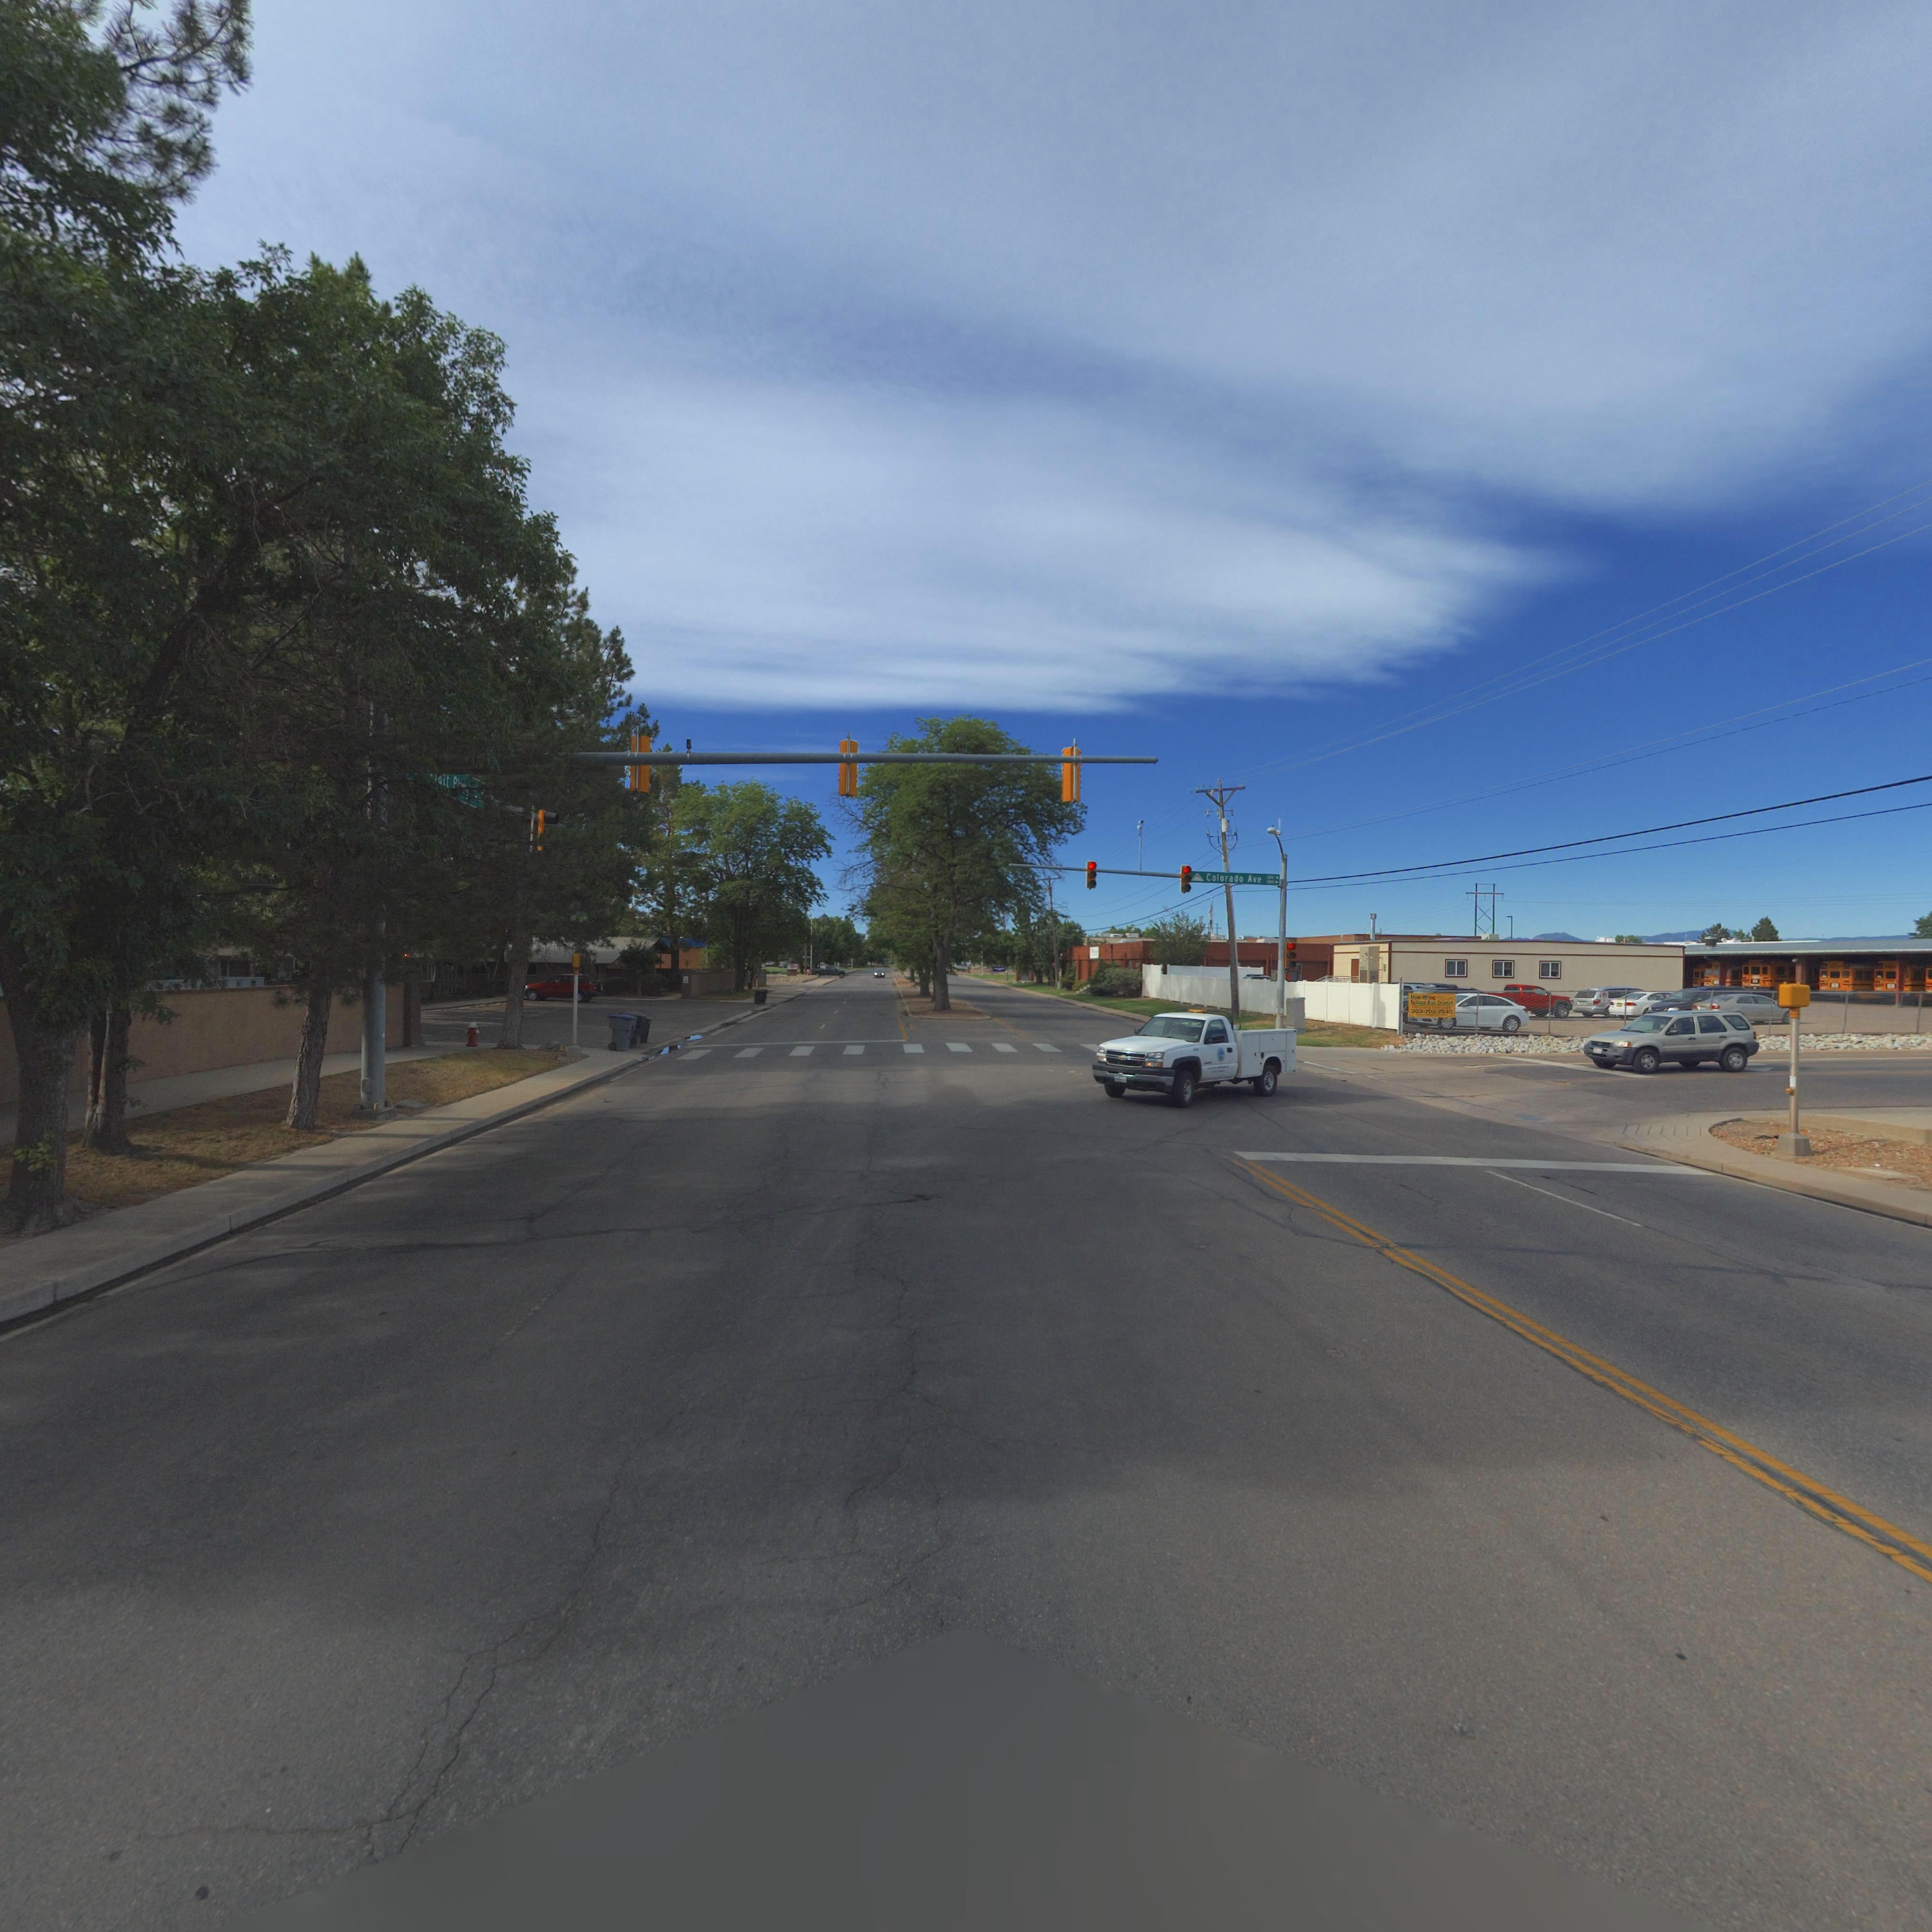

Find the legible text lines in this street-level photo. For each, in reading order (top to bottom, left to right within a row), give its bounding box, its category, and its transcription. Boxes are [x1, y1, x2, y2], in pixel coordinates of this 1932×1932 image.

[433, 770, 471, 801] StreetName: *att P*wy
[1206, 873, 1262, 883] StreetName: Colorado Ave
[1266, 875, 1274, 879] StreetNumberRange: 300
[1266, 879, 1279, 884] StreetNumberRange: **00 ->